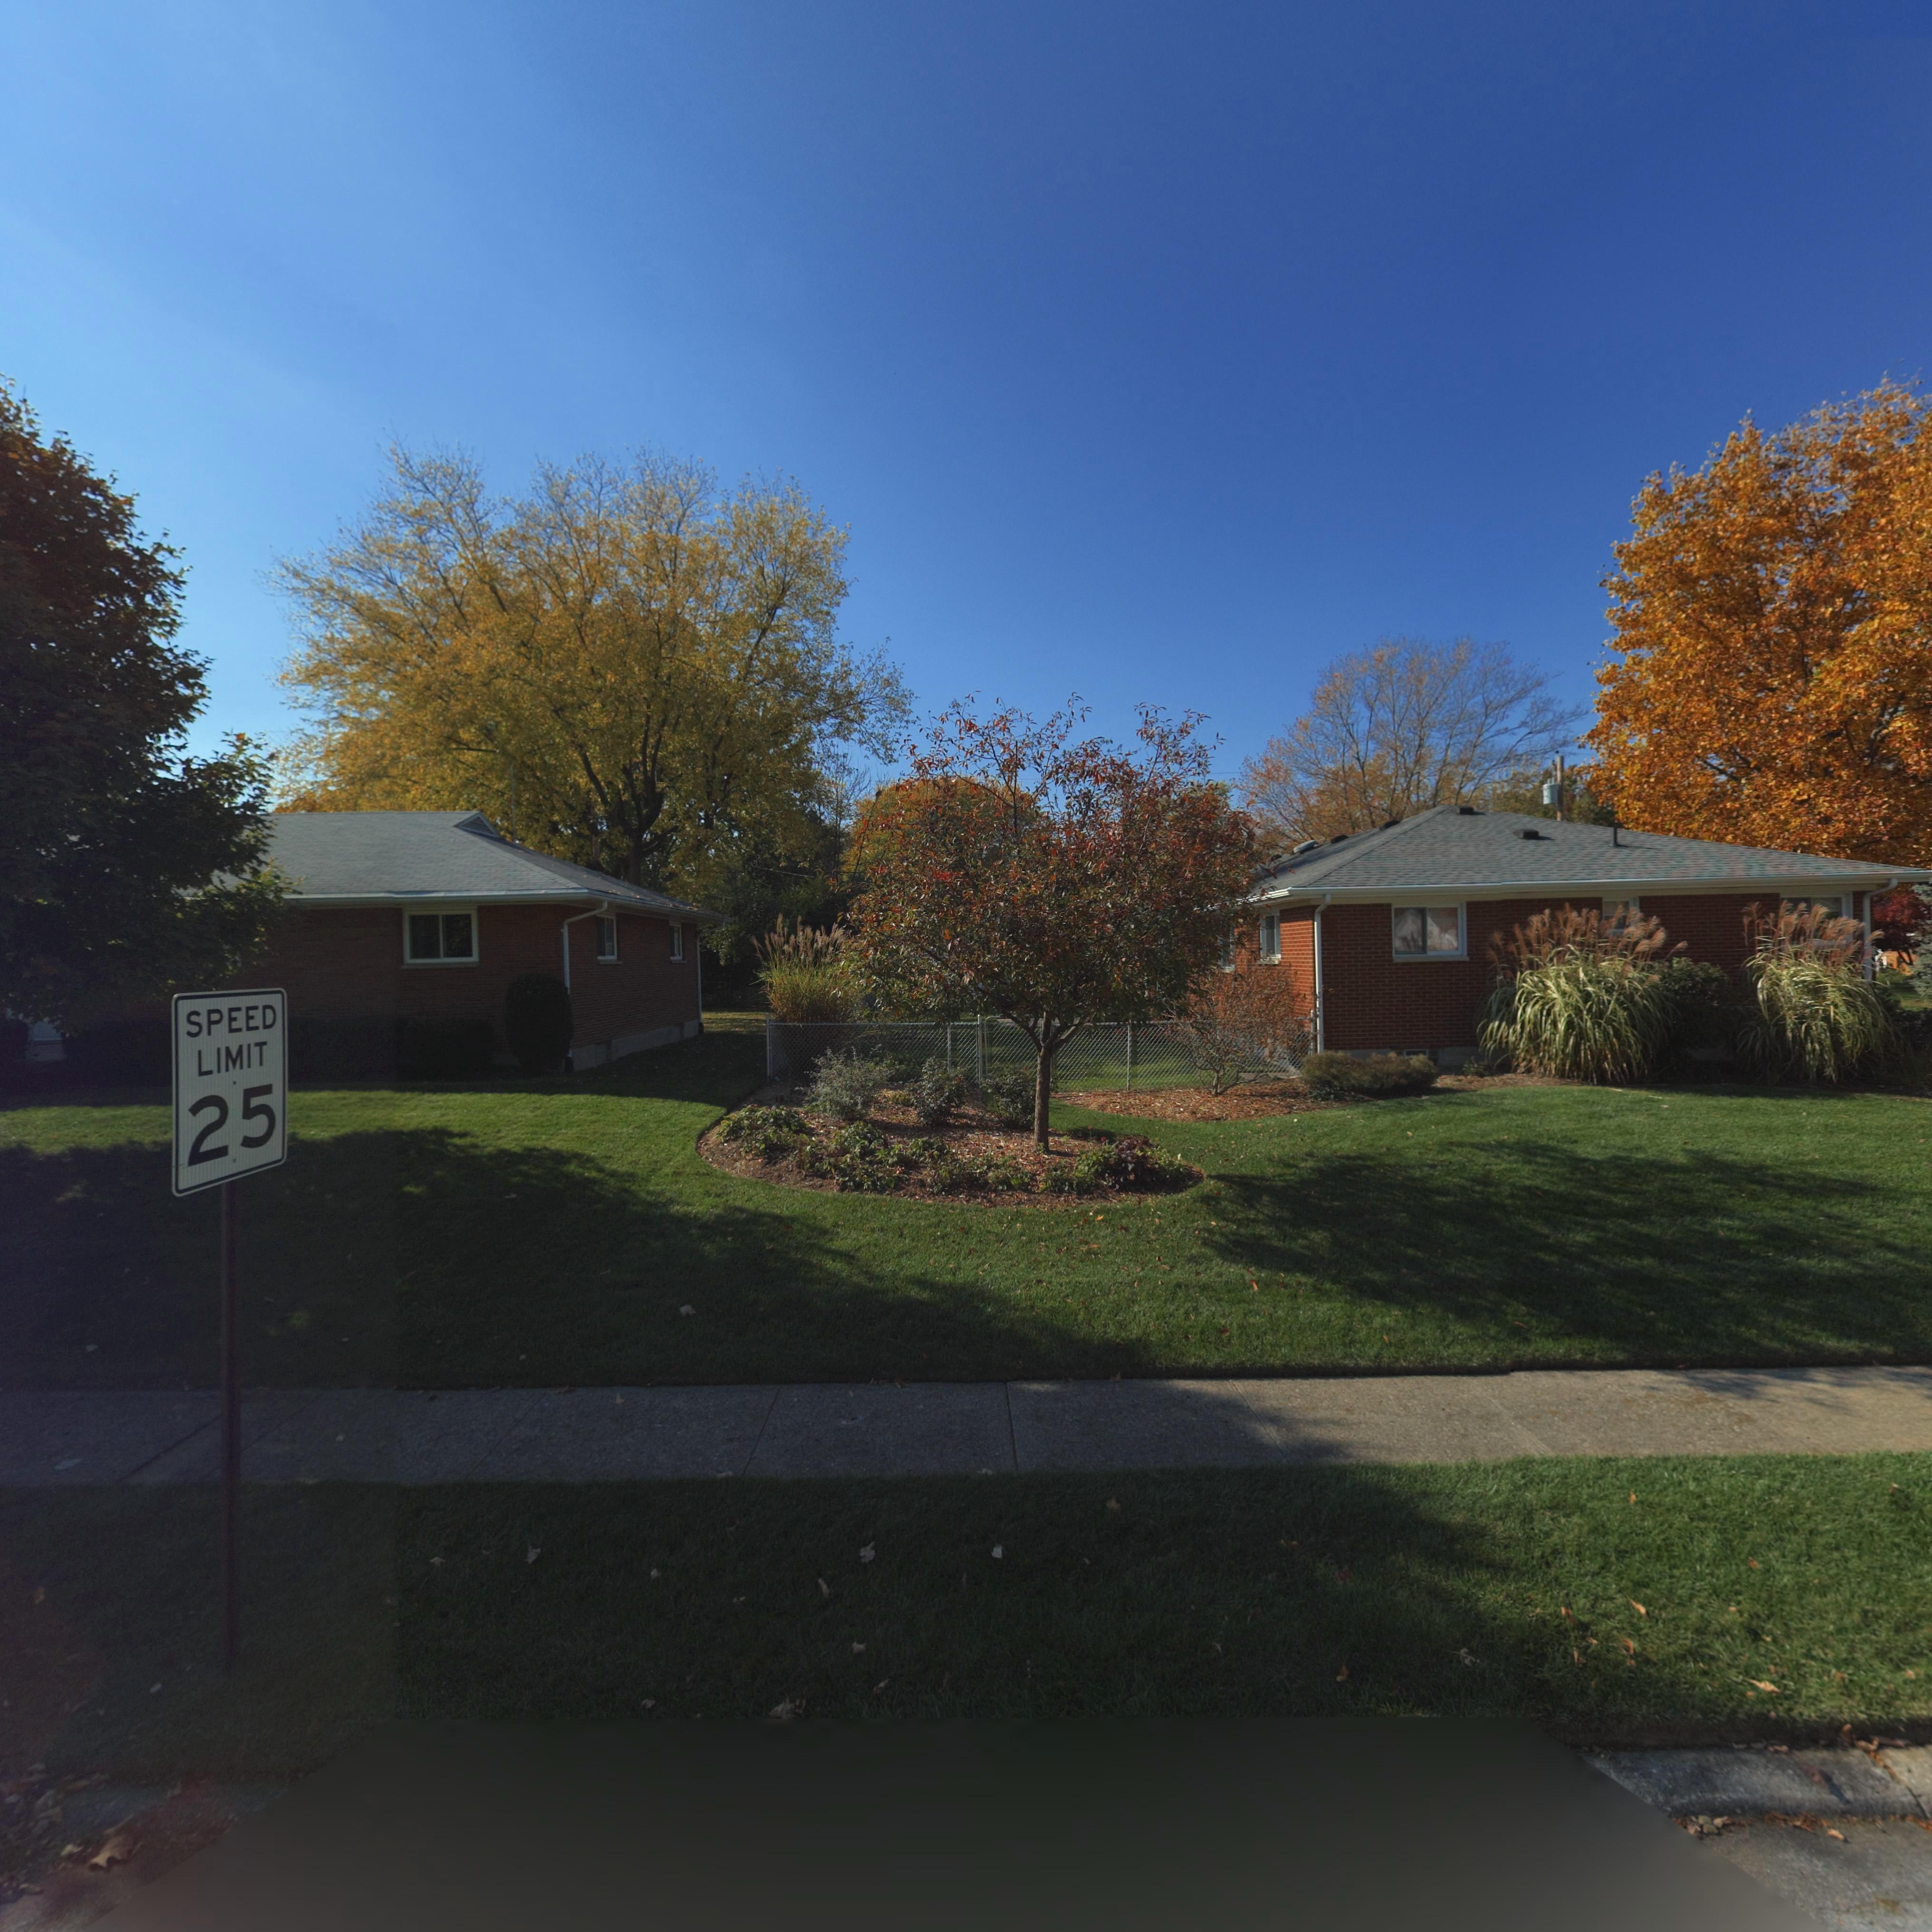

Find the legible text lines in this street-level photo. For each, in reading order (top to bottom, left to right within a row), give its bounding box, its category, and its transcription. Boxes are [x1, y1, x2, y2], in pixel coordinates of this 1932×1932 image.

[185, 1002, 278, 1040] None: SPEED
[196, 1040, 269, 1078] None: LIMIT
[187, 1082, 280, 1169] None: 25